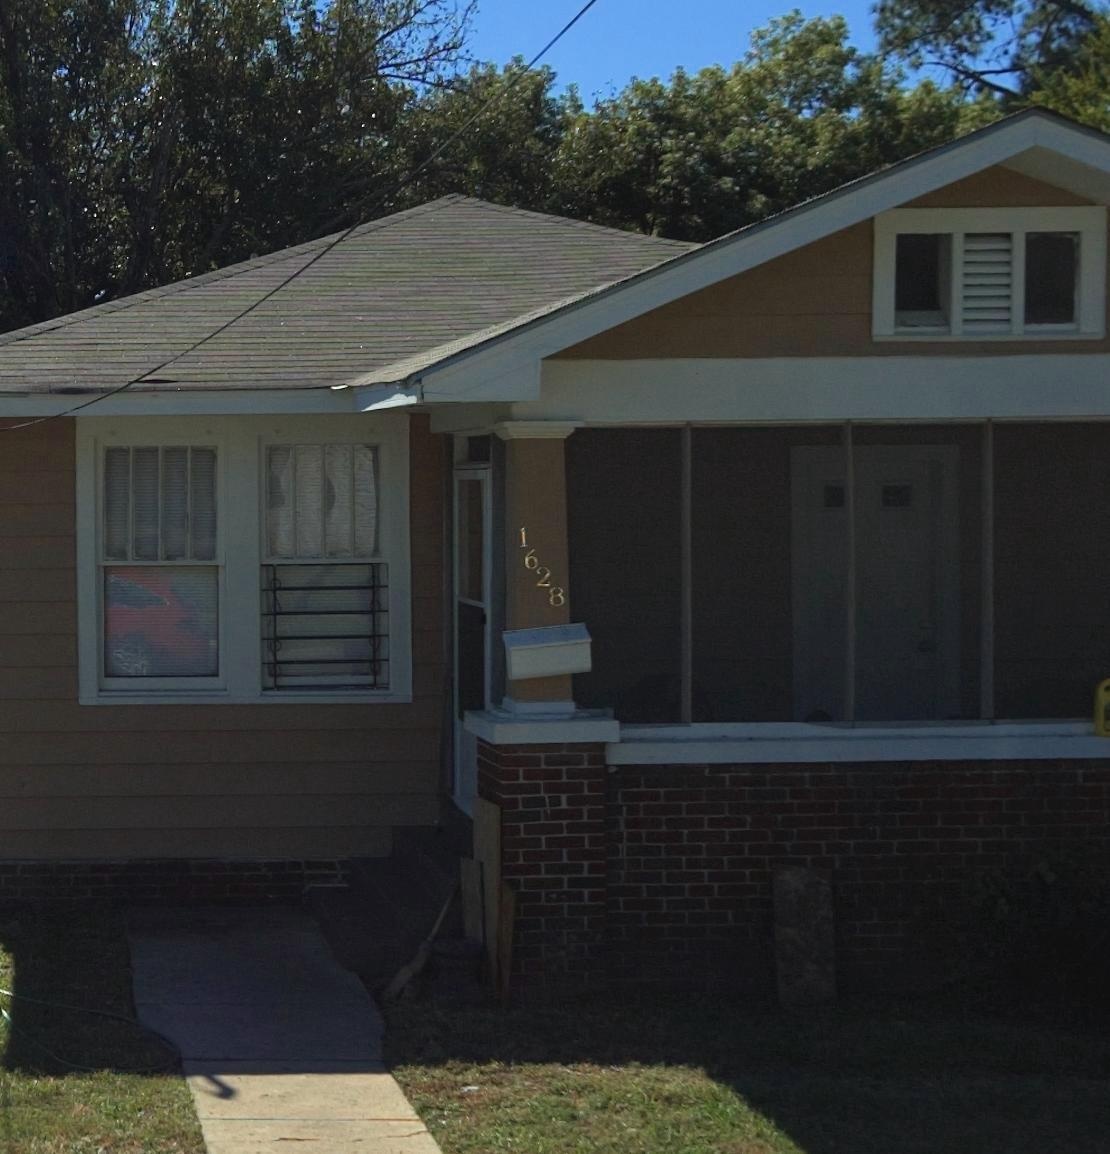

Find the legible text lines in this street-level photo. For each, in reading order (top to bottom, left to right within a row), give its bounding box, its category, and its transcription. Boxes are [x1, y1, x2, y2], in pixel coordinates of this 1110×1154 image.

[517, 524, 569, 609] StreetNumber: 1628